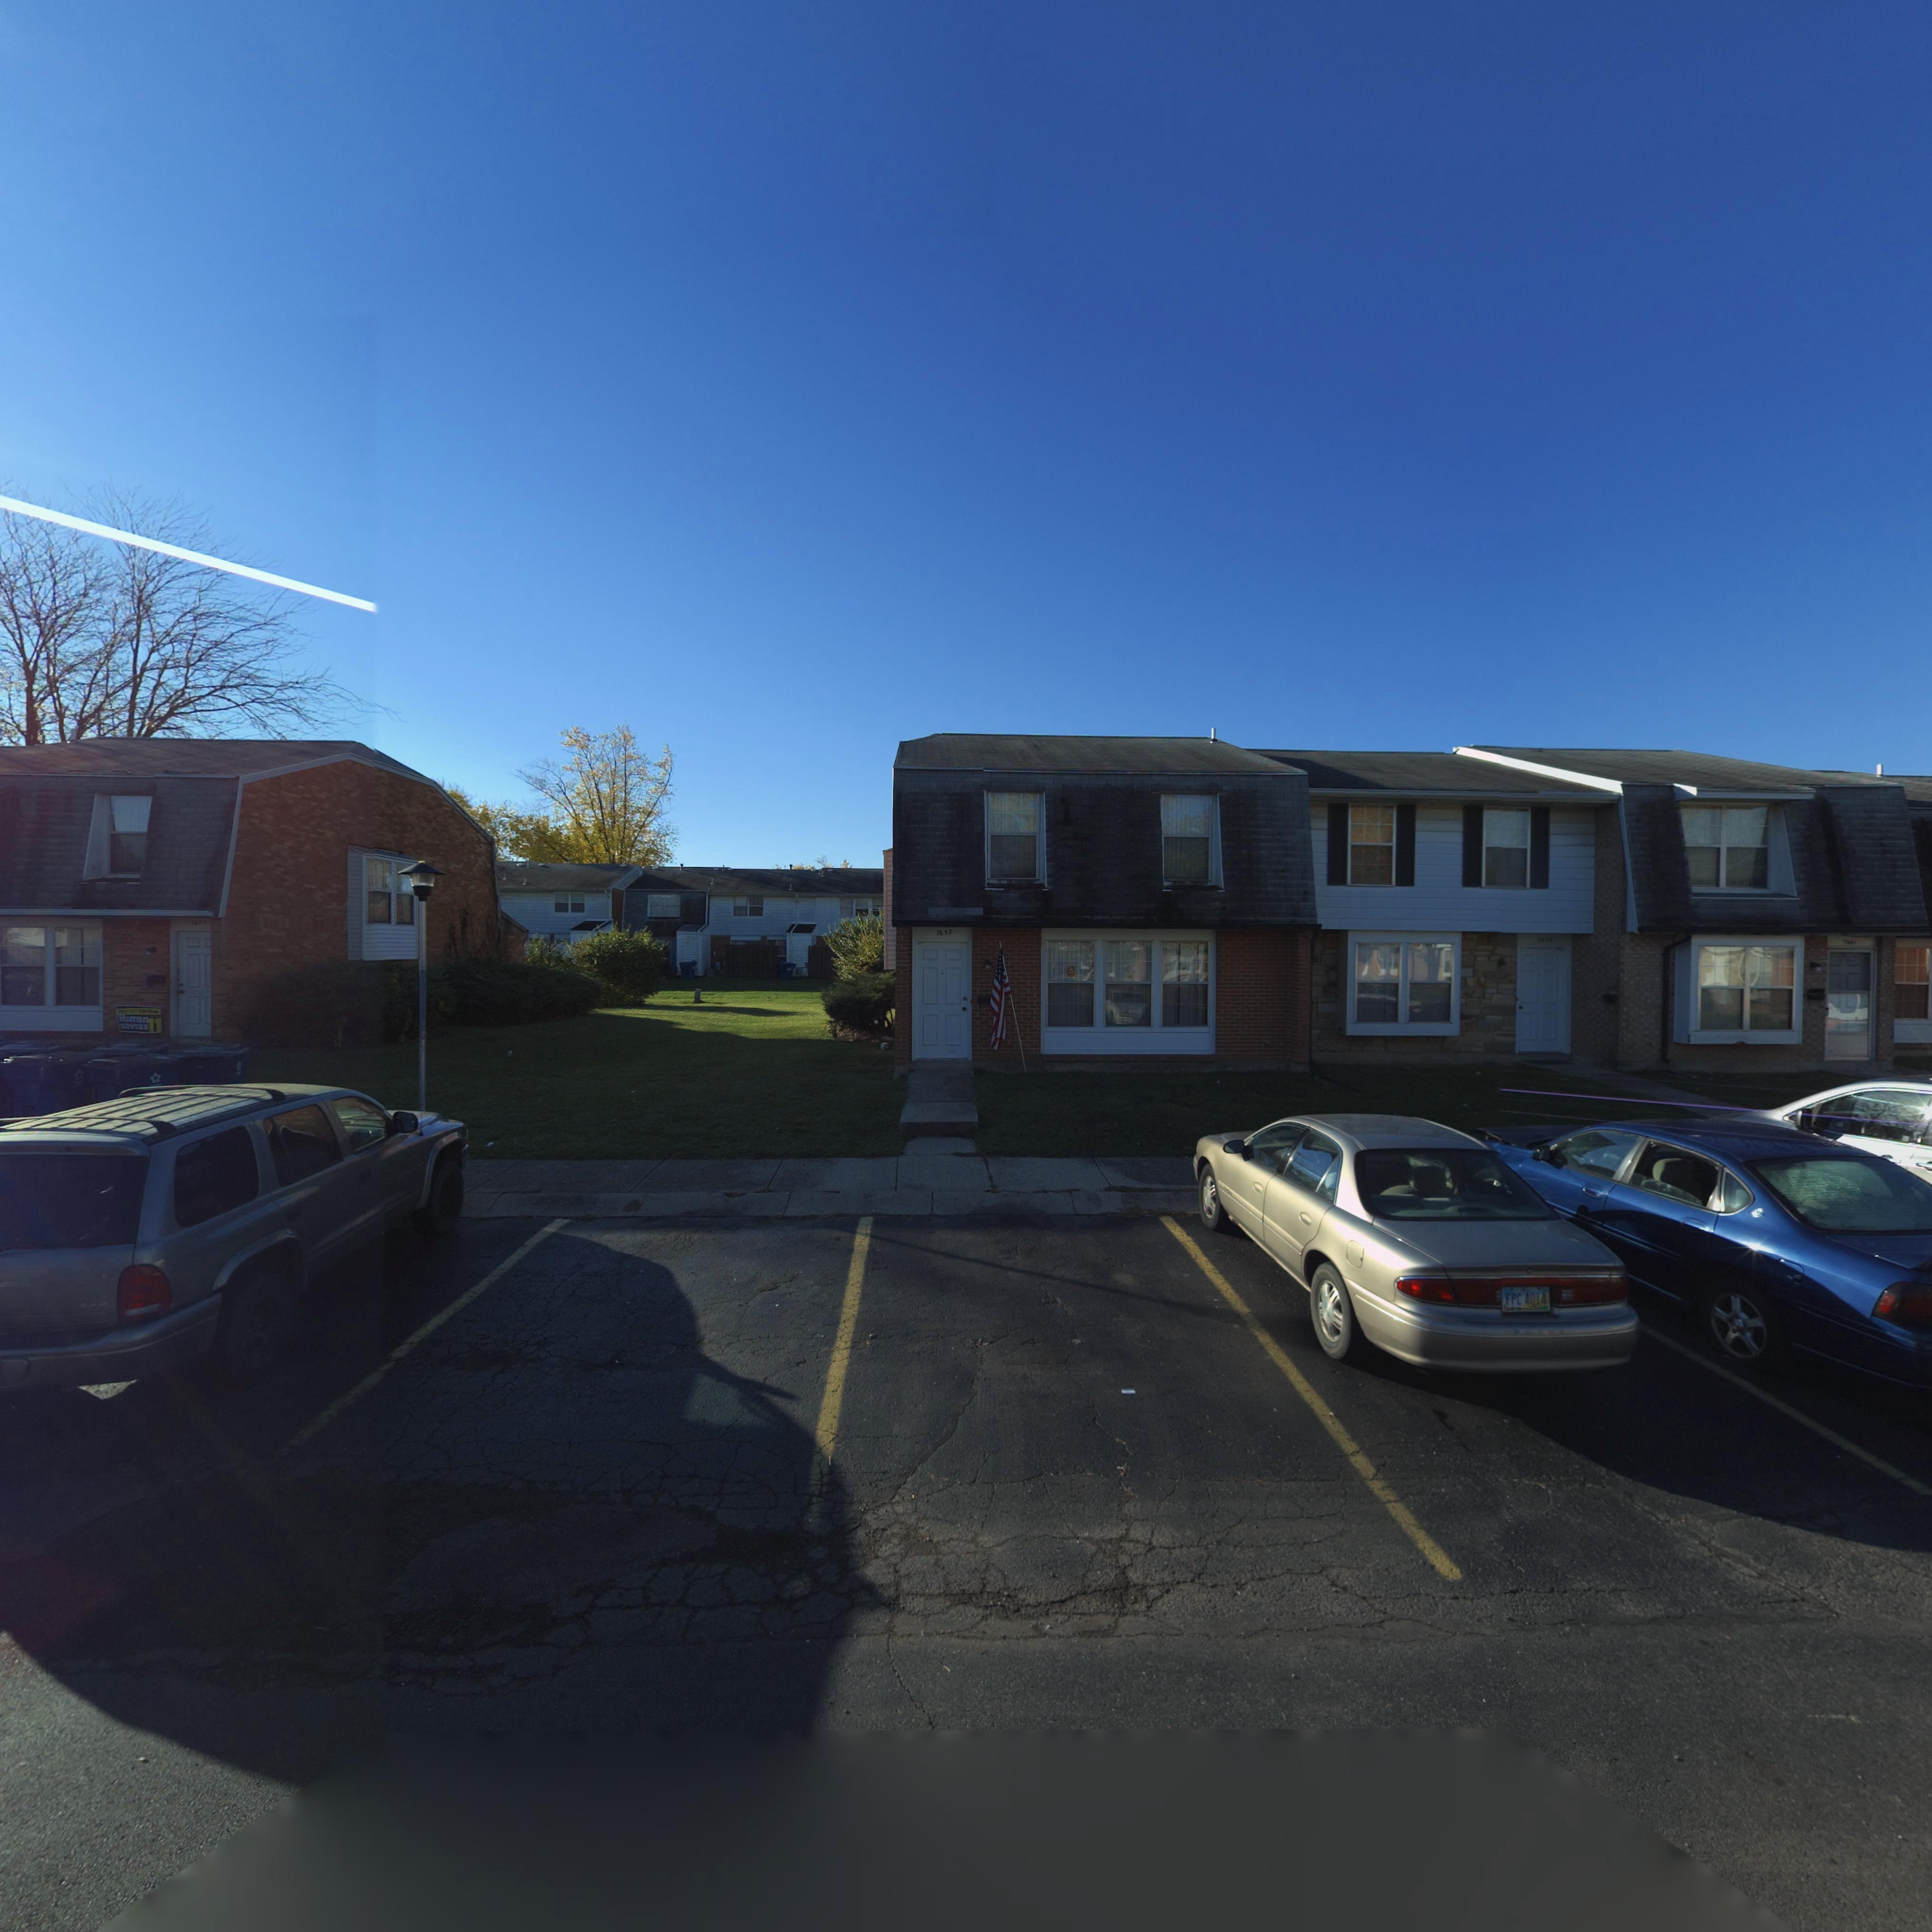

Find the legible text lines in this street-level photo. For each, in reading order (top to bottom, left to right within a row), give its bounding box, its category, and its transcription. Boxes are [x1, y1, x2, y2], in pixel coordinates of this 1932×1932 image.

[190, 919, 207, 925] StreetNumber: 76*3
[936, 928, 953, 936] StreetNumber: 7657
[1536, 936, 1554, 944] StreetNumber: 7659
[1841, 938, 1857, 946] StreetNumber: 7661